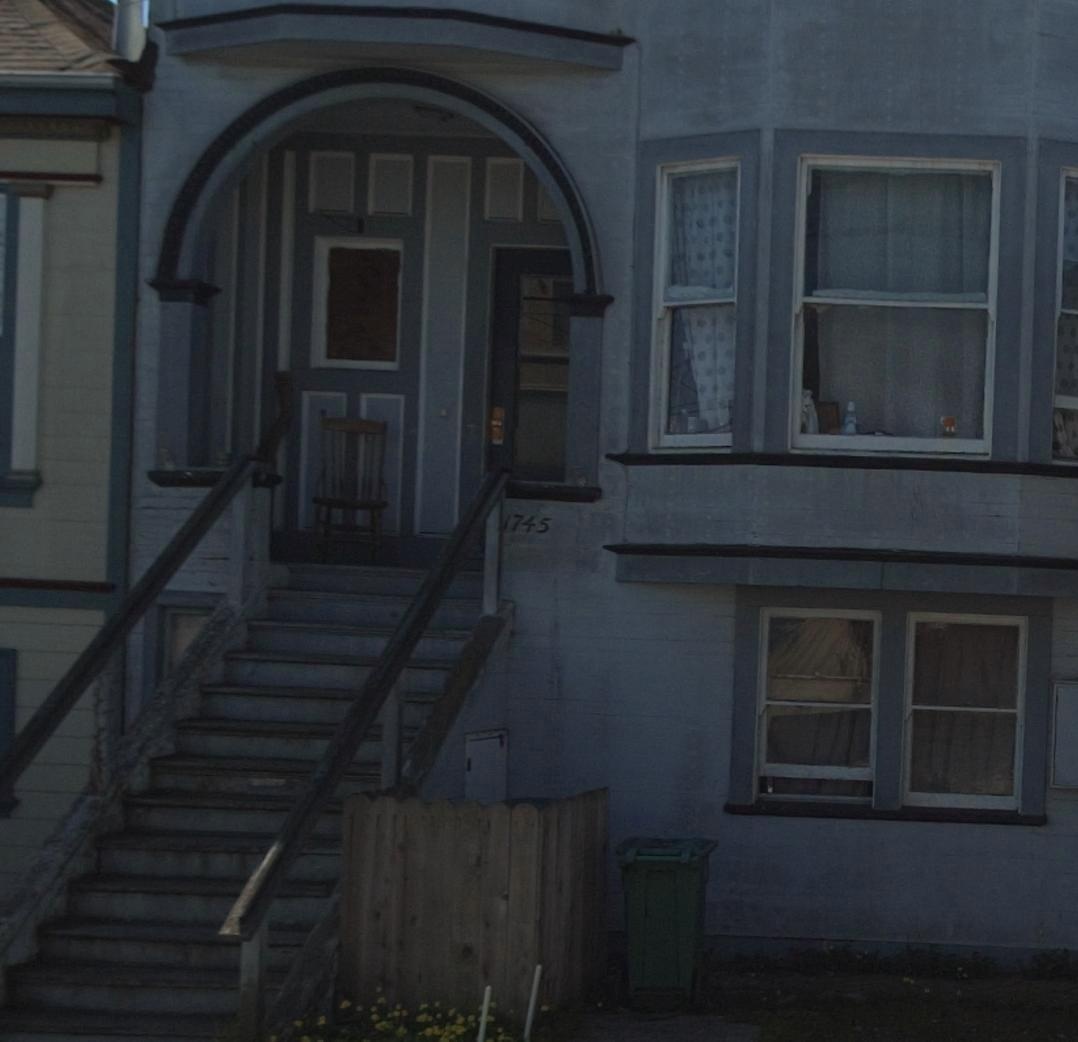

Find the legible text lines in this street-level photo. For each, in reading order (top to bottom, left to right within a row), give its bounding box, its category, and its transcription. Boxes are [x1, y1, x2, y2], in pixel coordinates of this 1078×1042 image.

[501, 513, 552, 535] StreetNumber: 1745